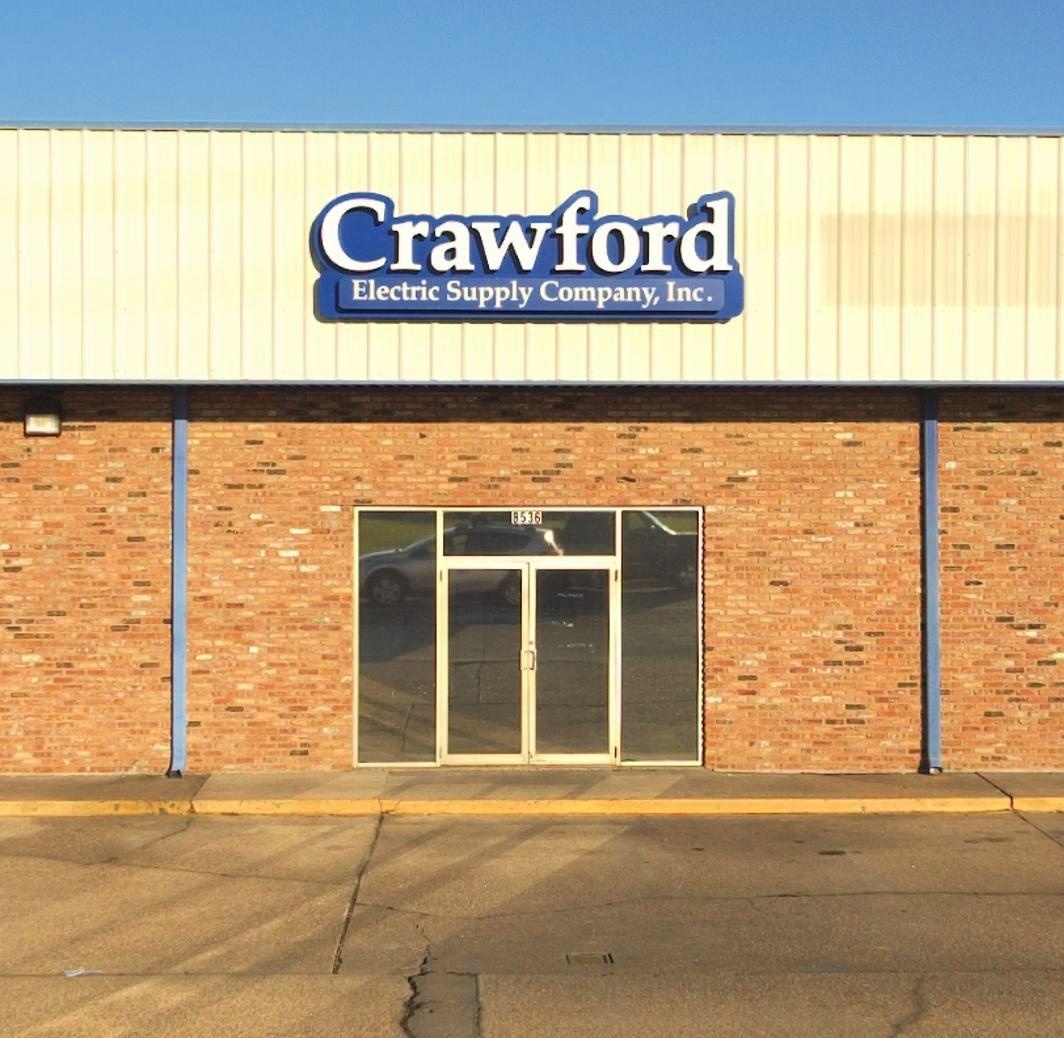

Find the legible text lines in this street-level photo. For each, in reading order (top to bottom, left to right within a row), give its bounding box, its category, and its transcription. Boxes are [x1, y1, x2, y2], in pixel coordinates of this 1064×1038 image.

[319, 195, 734, 274] BusinessName: Crawford
[350, 277, 706, 310] BusinessName: Electric Supply Company, Inc
[513, 510, 542, 523] StreetNumber: 8536